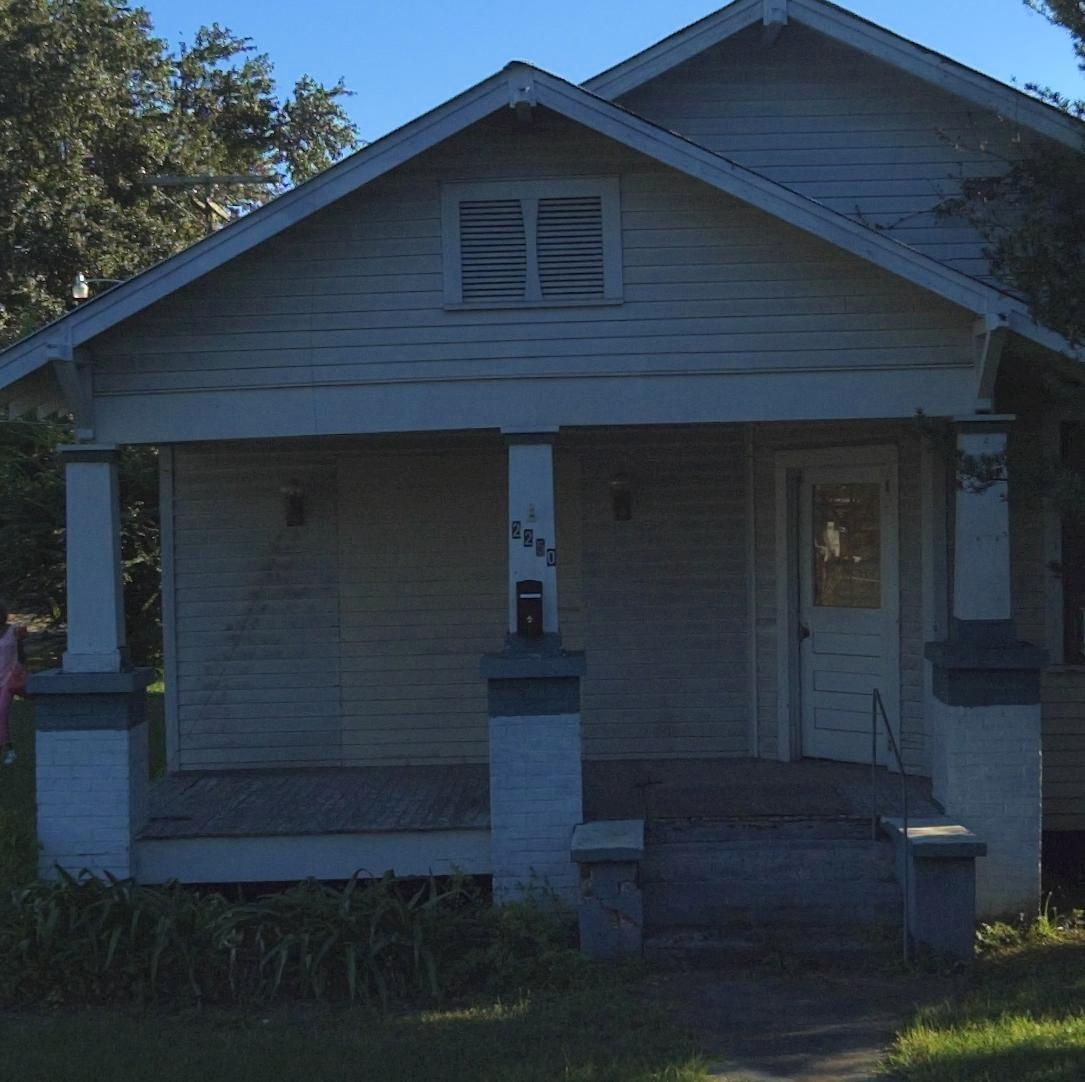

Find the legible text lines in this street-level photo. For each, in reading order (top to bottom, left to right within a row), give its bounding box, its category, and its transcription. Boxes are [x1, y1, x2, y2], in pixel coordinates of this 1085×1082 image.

[510, 520, 557, 566] StreetNumber: 2250